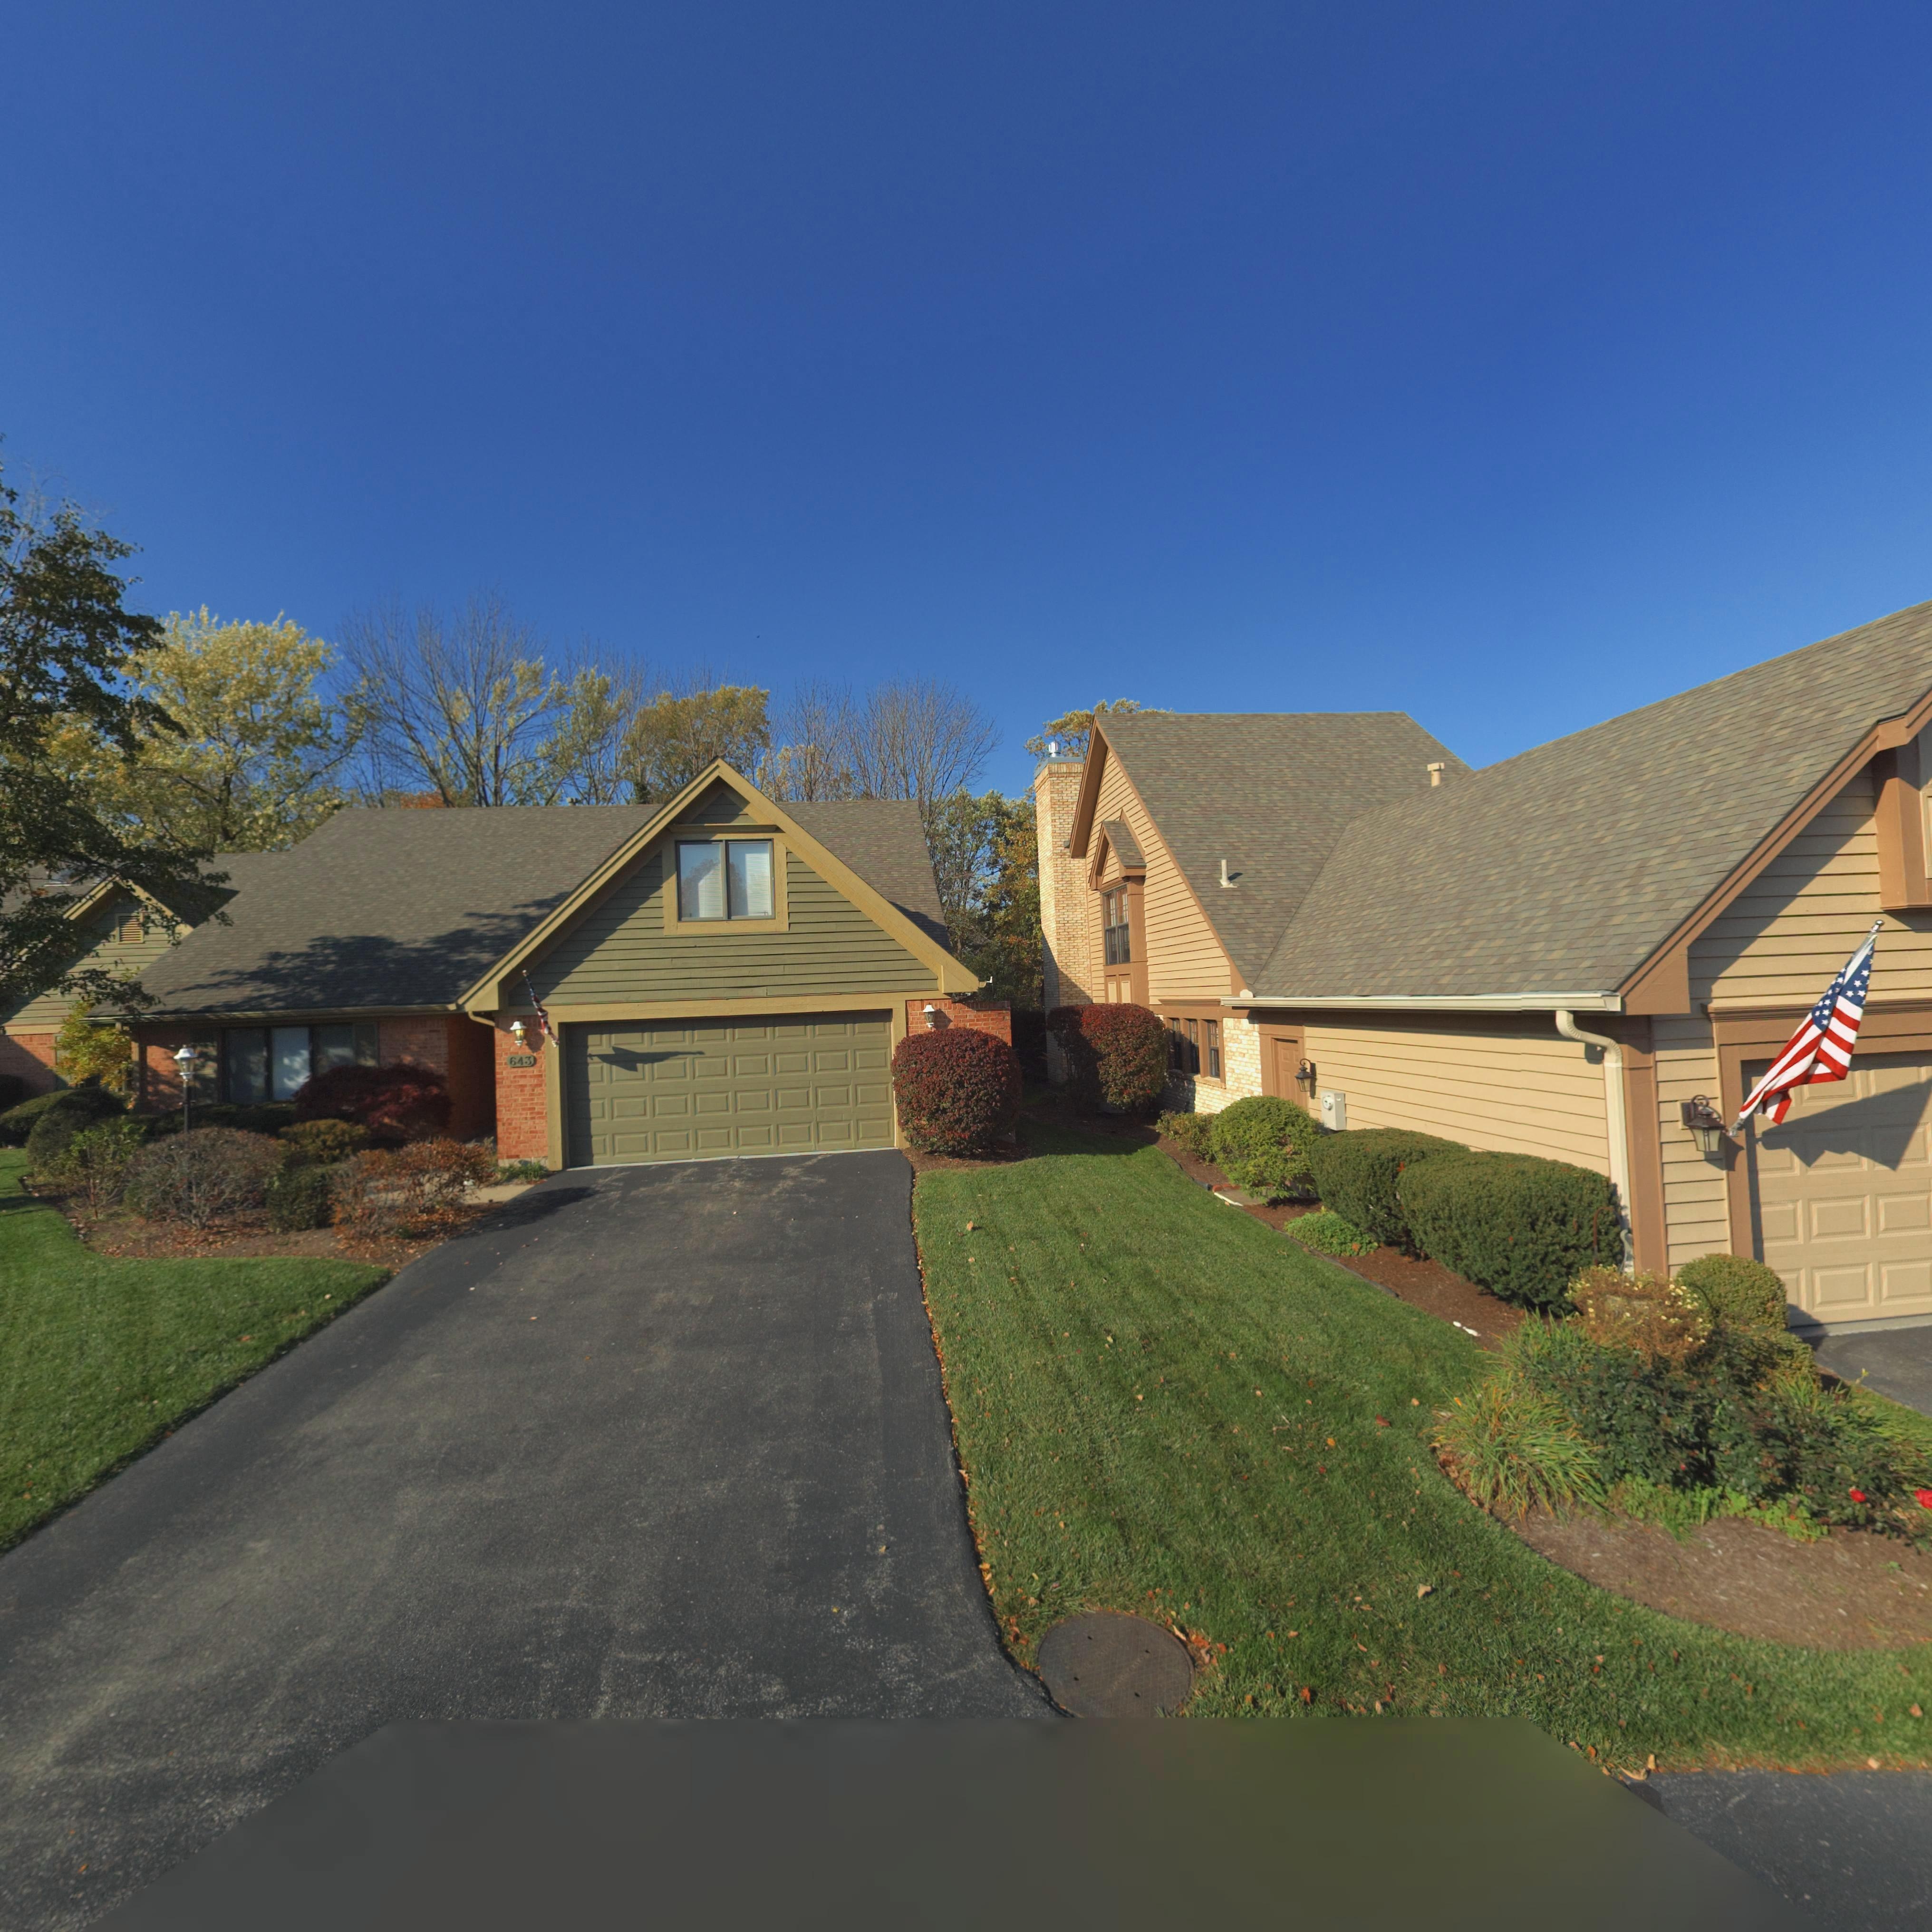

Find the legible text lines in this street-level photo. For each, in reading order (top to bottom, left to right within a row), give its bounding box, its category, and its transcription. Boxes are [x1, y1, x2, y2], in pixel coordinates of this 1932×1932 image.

[509, 1056, 532, 1066] StreetNumber: 643